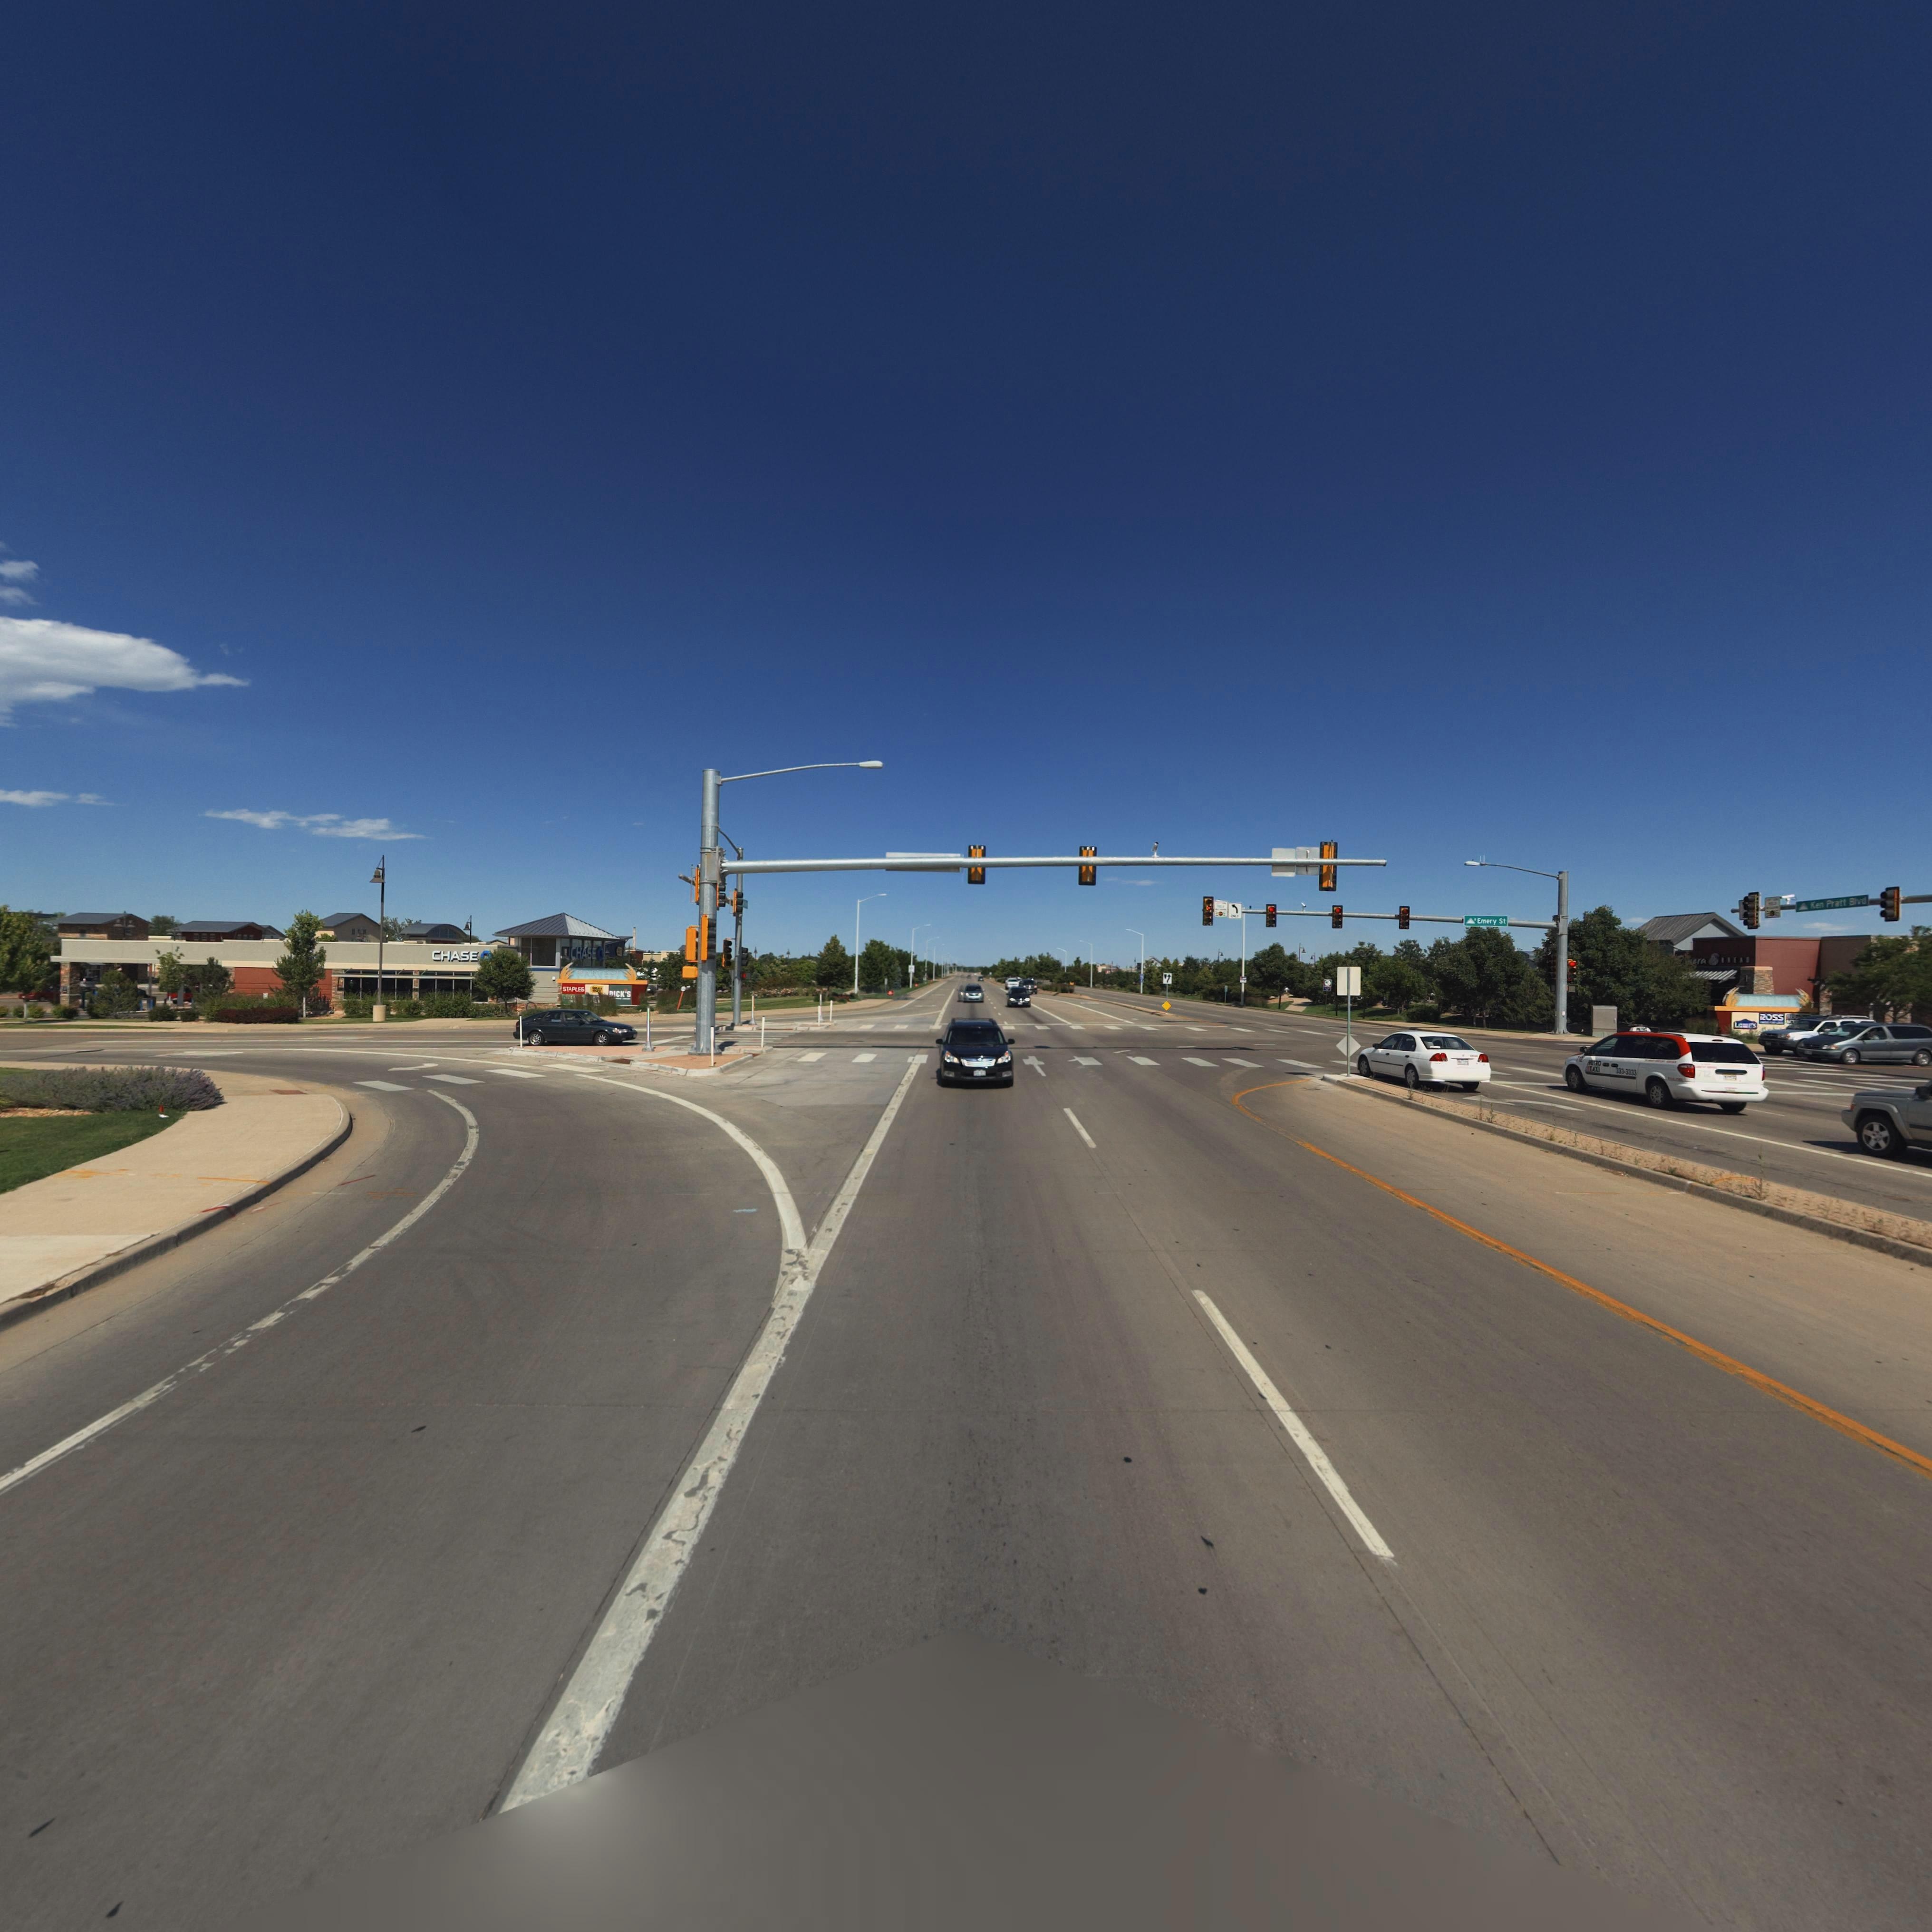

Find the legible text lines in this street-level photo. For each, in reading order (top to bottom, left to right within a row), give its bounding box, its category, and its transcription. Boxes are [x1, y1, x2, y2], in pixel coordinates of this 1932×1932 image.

[1810, 896, 1866, 909] StreetName: Ken Pratt Blvd
[1477, 918, 1506, 926] StreetName: Emery St
[431, 950, 478, 960] BusinessName: CHASE
[570, 947, 597, 959] BusinessName: CHASE
[1692, 957, 1706, 964] BusinessName: era
[1721, 956, 1749, 963] BusinessName: BREAD
[562, 986, 585, 992] BusinessName: STAPLES
[609, 990, 631, 997] BusinessName: DICK'S
[1759, 1014, 1784, 1021] BusinessName: ROSS
[1734, 1021, 1756, 1028] BusinessName: LO**S